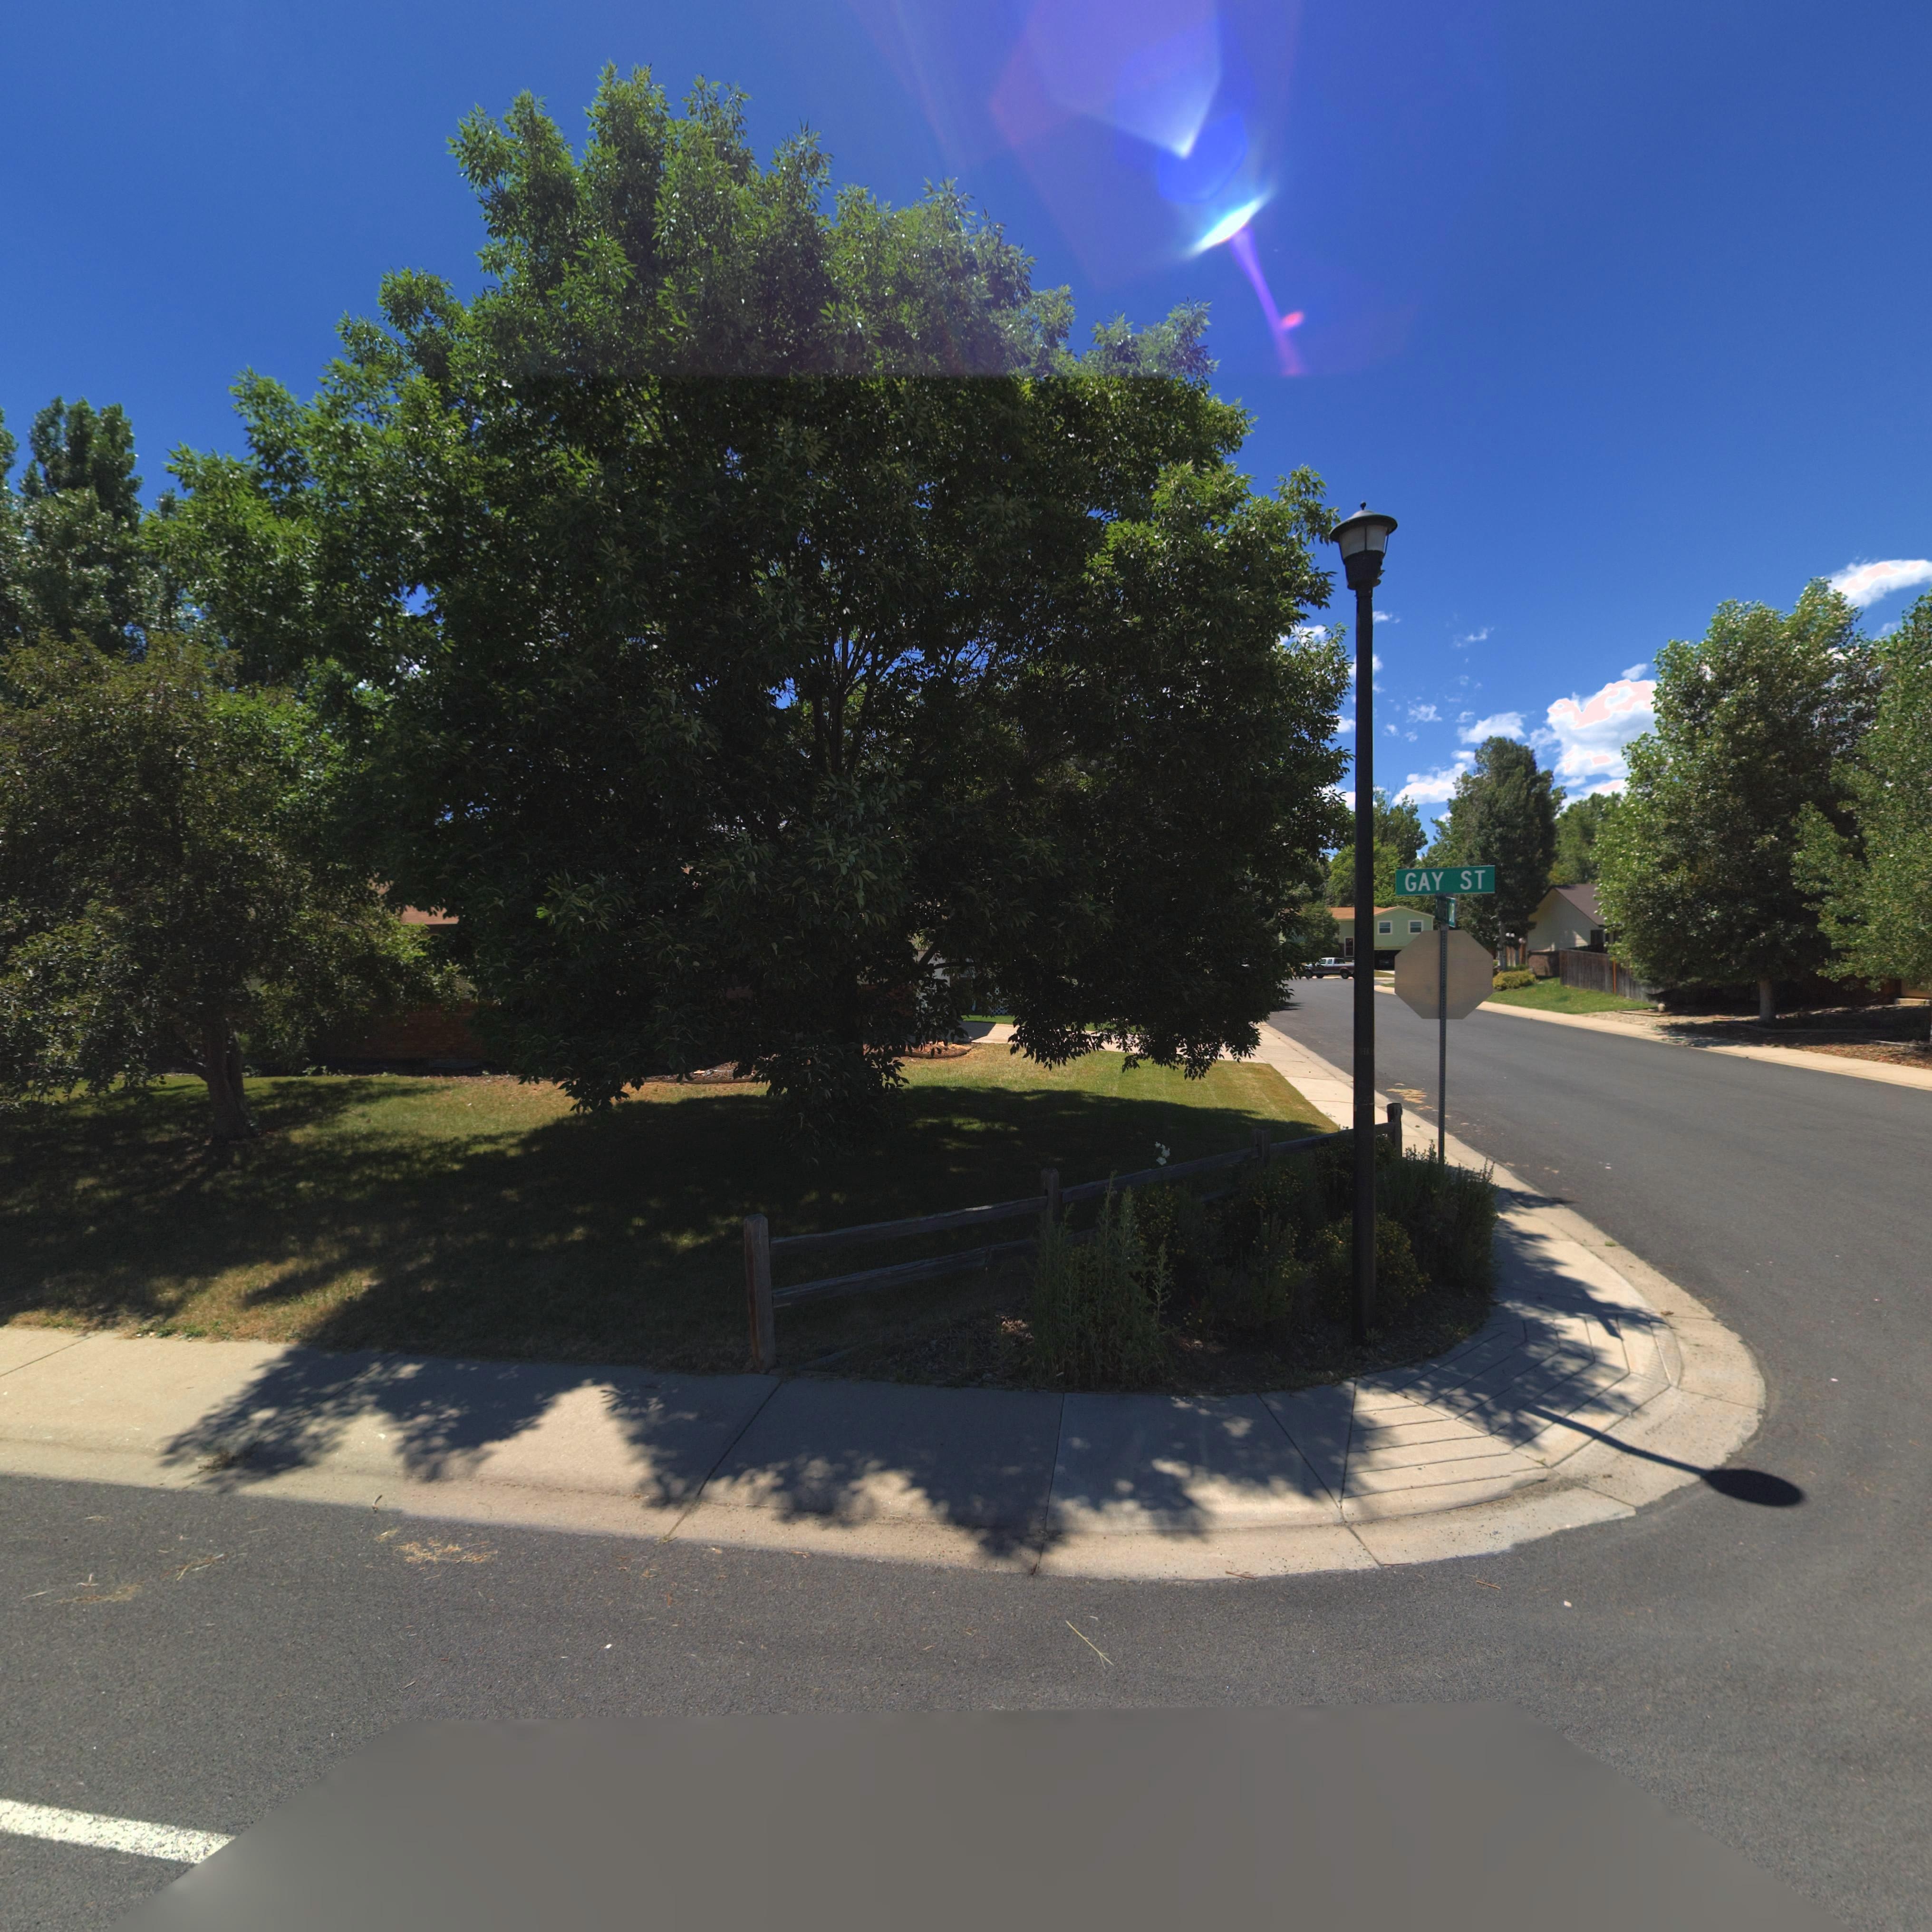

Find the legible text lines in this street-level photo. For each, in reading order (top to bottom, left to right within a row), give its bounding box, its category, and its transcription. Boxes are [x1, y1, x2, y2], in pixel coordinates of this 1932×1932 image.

[1404, 869, 1485, 892] StreetName: GAY ST
[1434, 898, 1454, 923] StreetName: ****ER DR